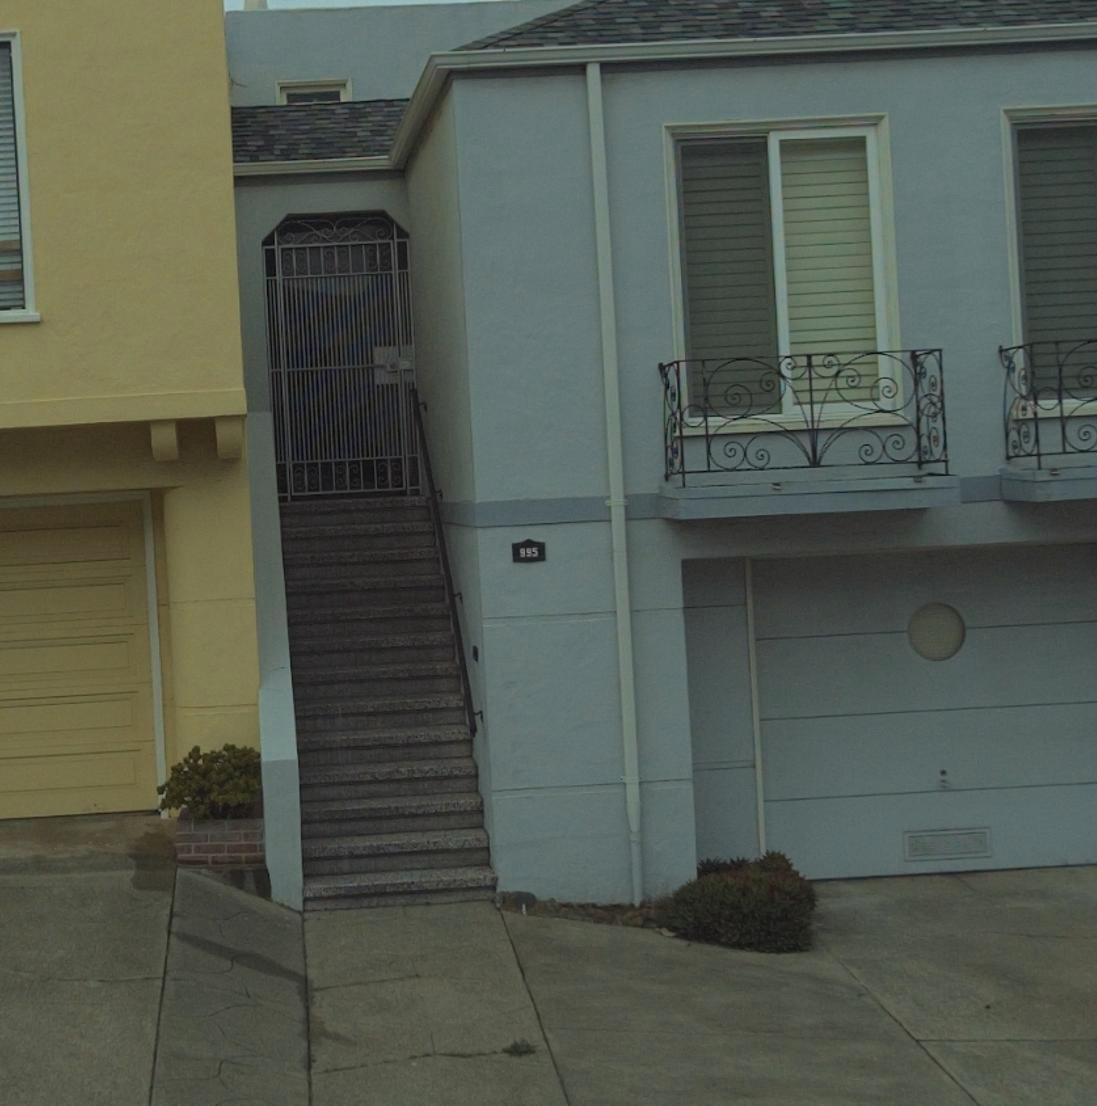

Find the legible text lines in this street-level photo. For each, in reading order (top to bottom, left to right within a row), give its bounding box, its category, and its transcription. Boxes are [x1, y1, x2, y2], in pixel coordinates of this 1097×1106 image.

[518, 546, 540, 559] StreetNumber: 995